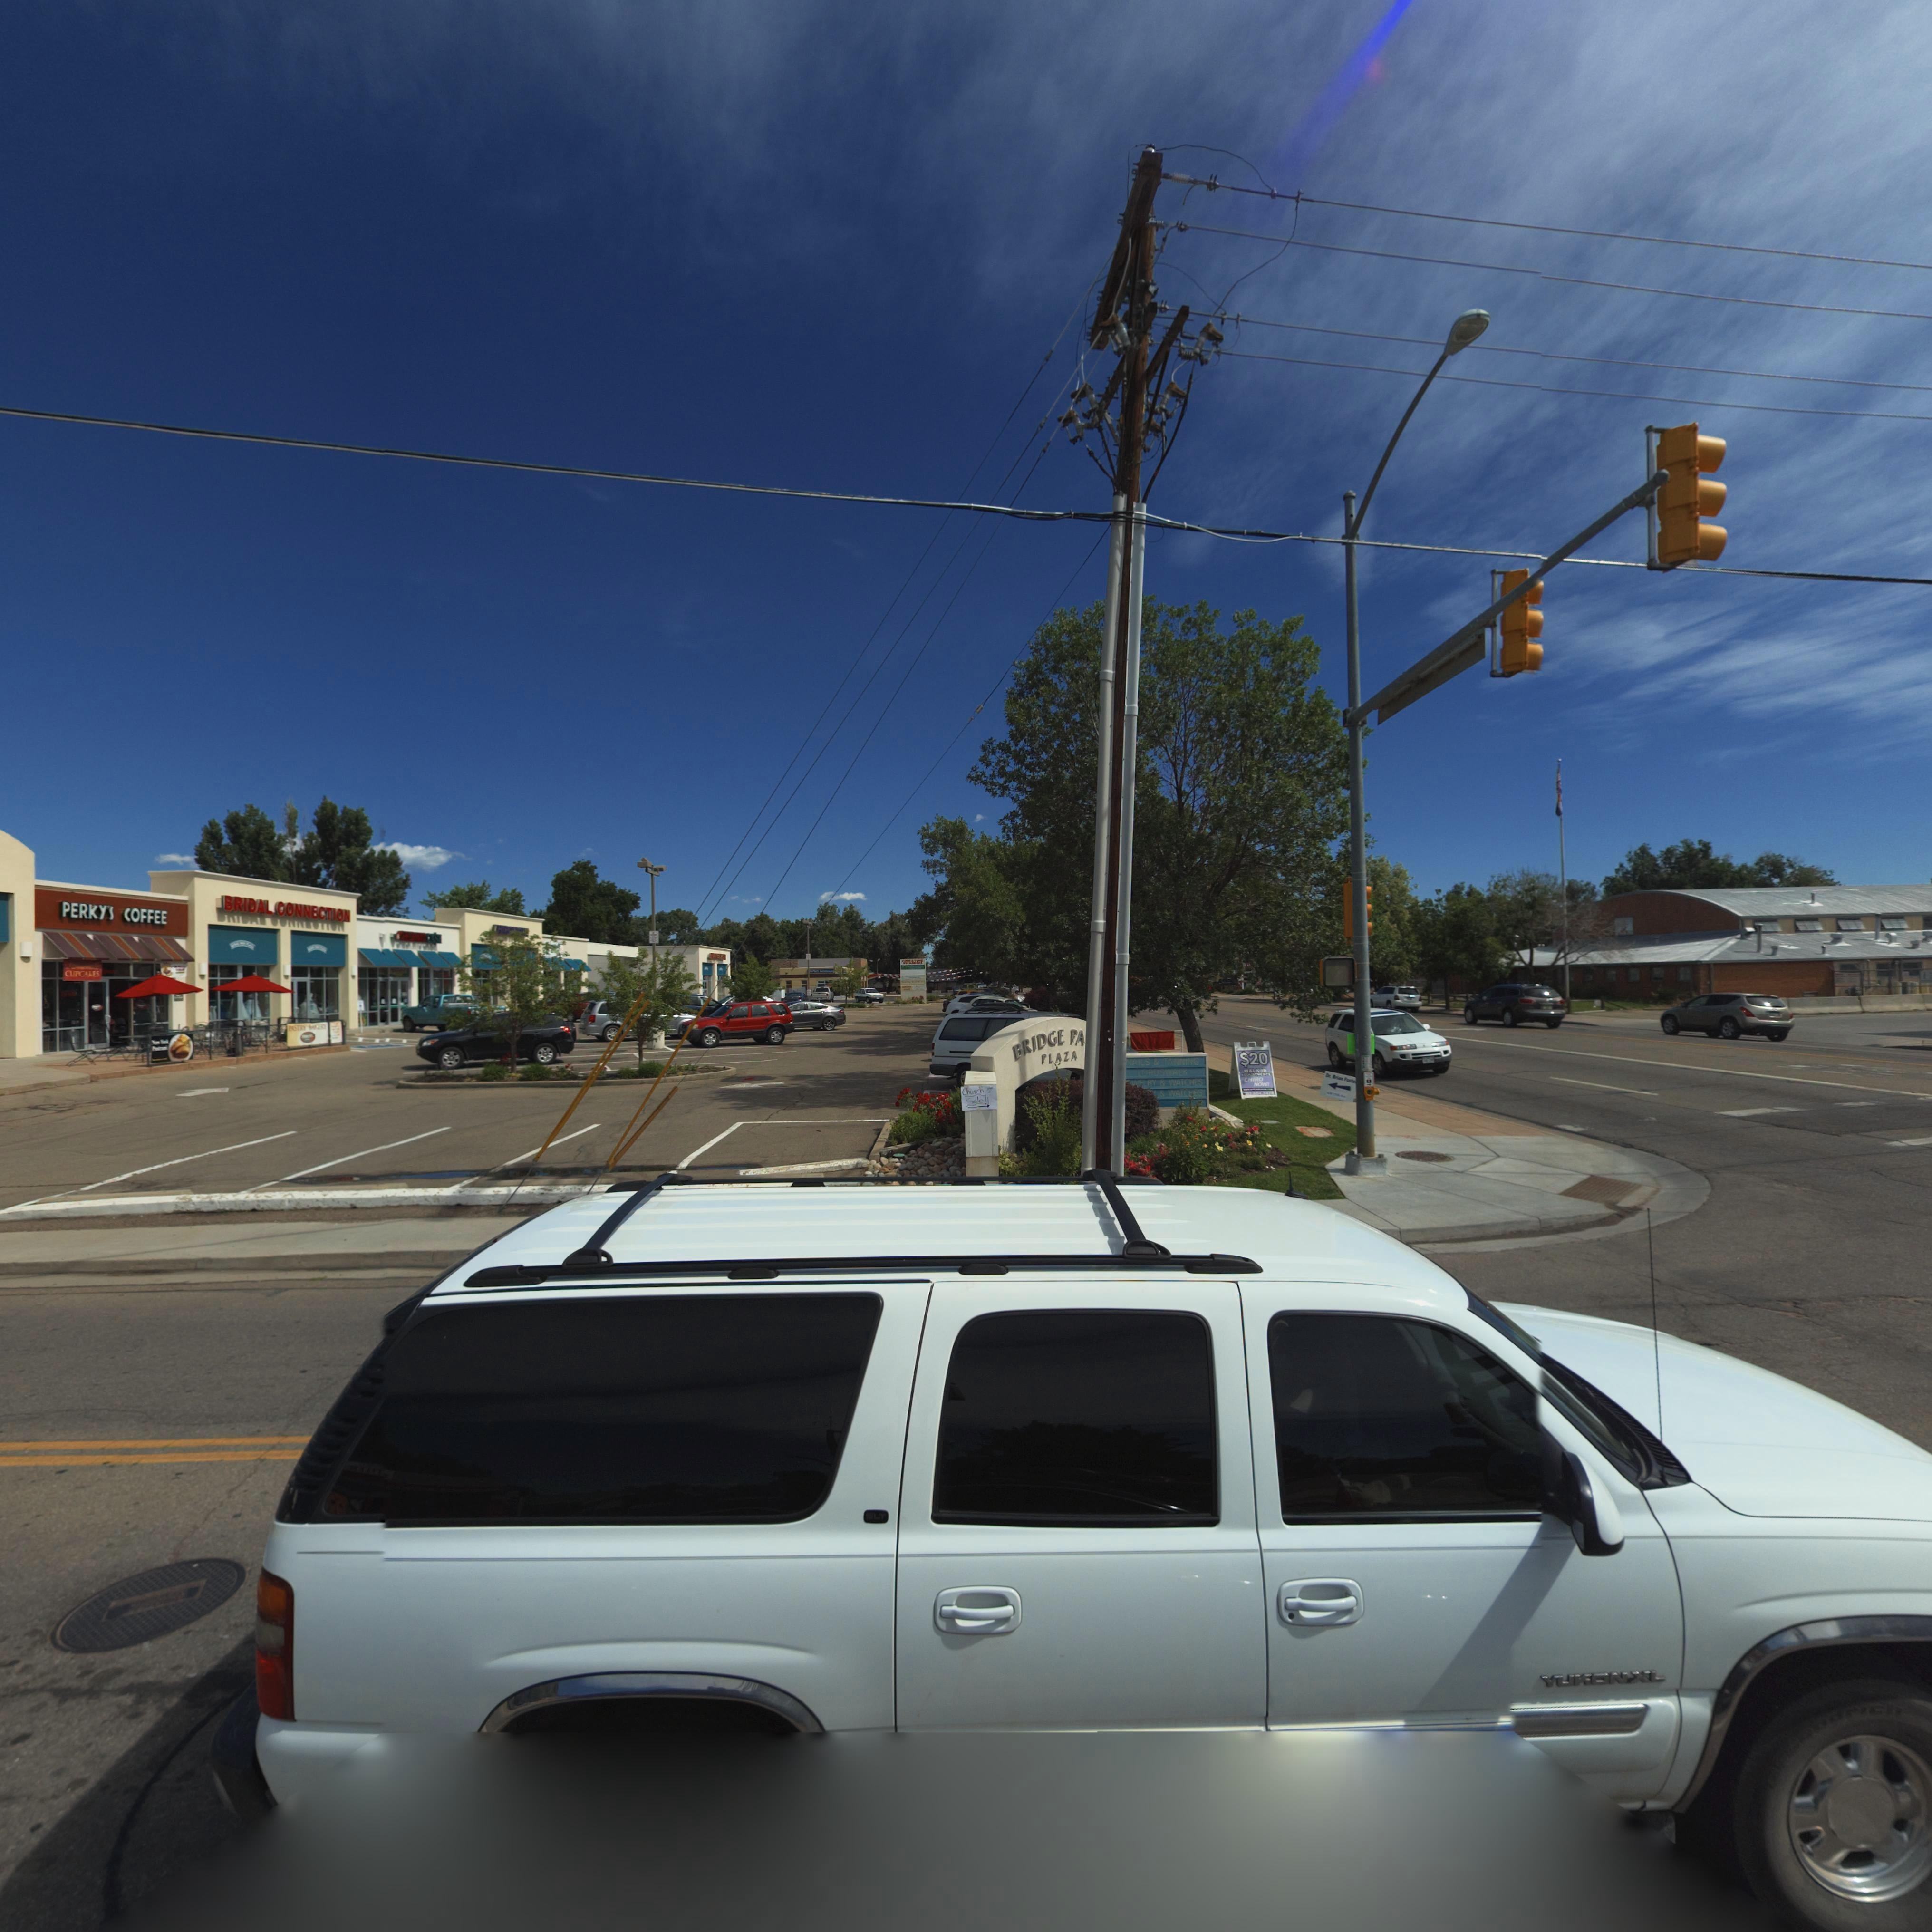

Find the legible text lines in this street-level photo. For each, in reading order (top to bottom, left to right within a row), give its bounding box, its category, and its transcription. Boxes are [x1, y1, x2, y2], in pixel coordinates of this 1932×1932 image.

[60, 900, 168, 926] BusinessName: PERKYS COFFEE
[222, 894, 351, 923] BusinessName: BRIDAL CONNECTION
[394, 930, 442, 945] BusinessName: C****CA*H